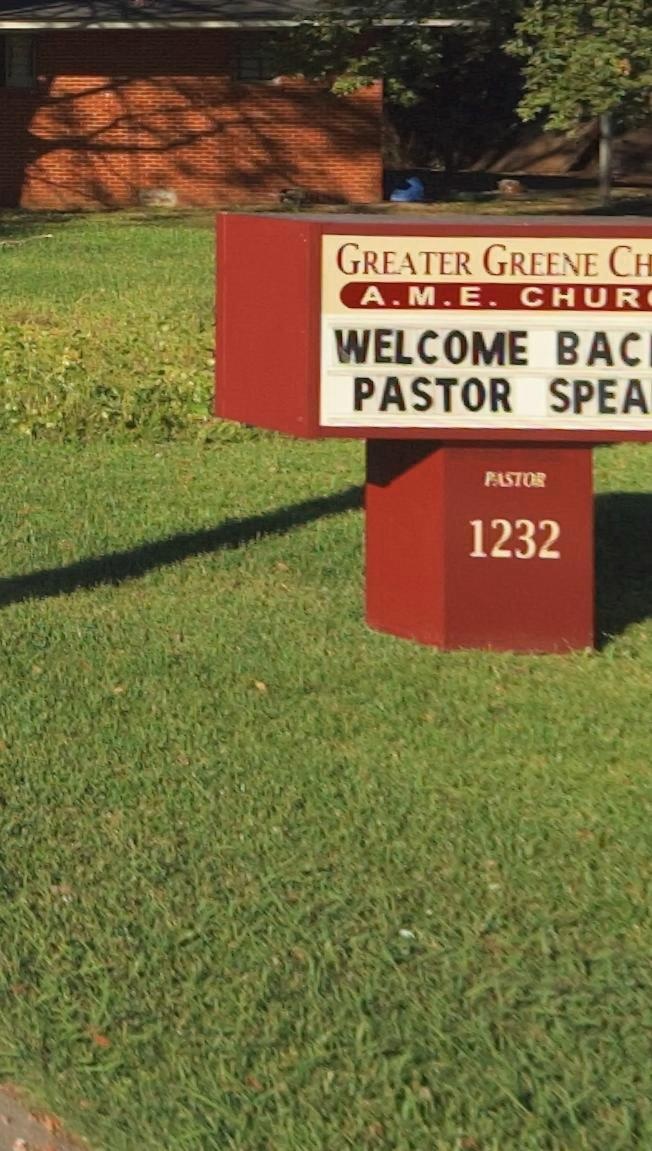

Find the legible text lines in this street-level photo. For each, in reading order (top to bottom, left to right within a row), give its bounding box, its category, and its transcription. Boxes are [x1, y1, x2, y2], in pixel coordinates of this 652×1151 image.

[332, 240, 652, 281] BusinessName: GREATER GREENE CH
[356, 283, 645, 311] None: A.M.E. CHUR
[330, 326, 647, 369] None: WELCOME BAC
[351, 373, 651, 416] None: PASTOR SPEA
[480, 468, 550, 491] None: PASTOR
[466, 516, 563, 562] StreetNumber: 1232